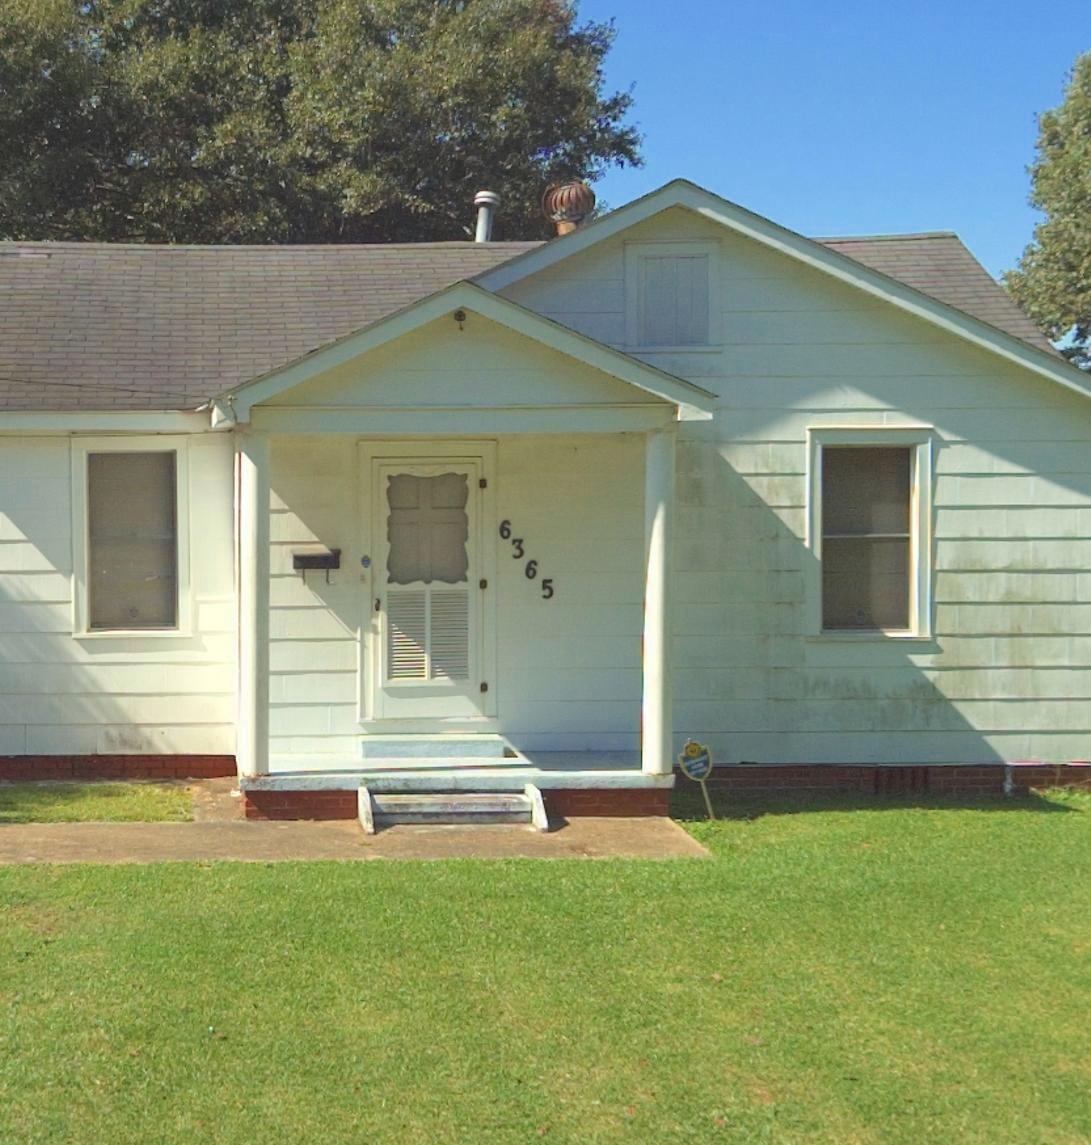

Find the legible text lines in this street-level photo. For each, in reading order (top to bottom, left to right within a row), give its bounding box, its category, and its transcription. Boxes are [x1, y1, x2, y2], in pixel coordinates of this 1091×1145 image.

[498, 519, 554, 600] StreetNumber: 6365